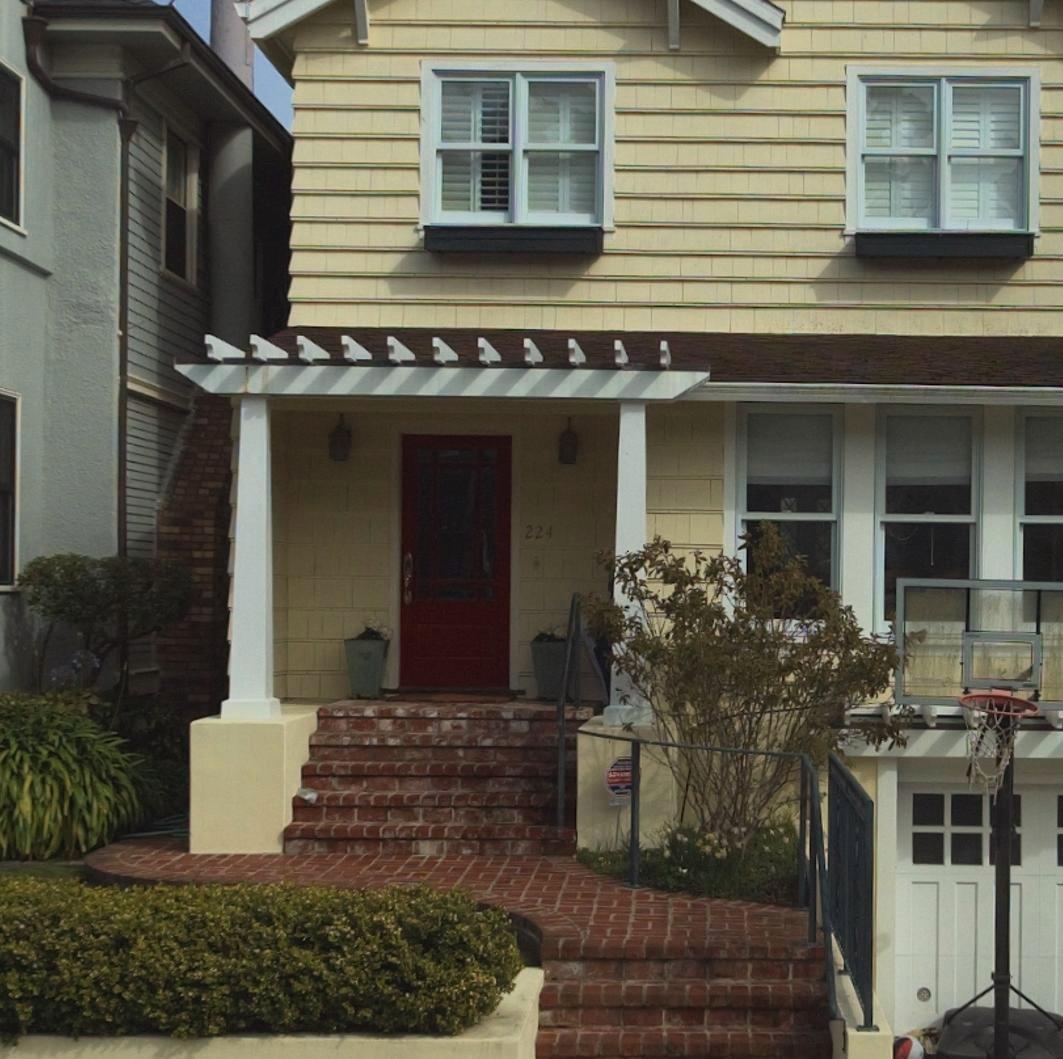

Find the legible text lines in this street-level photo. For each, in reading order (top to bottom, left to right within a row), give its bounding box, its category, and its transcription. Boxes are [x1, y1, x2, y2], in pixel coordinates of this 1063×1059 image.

[523, 523, 554, 540] StreetNumber: 224